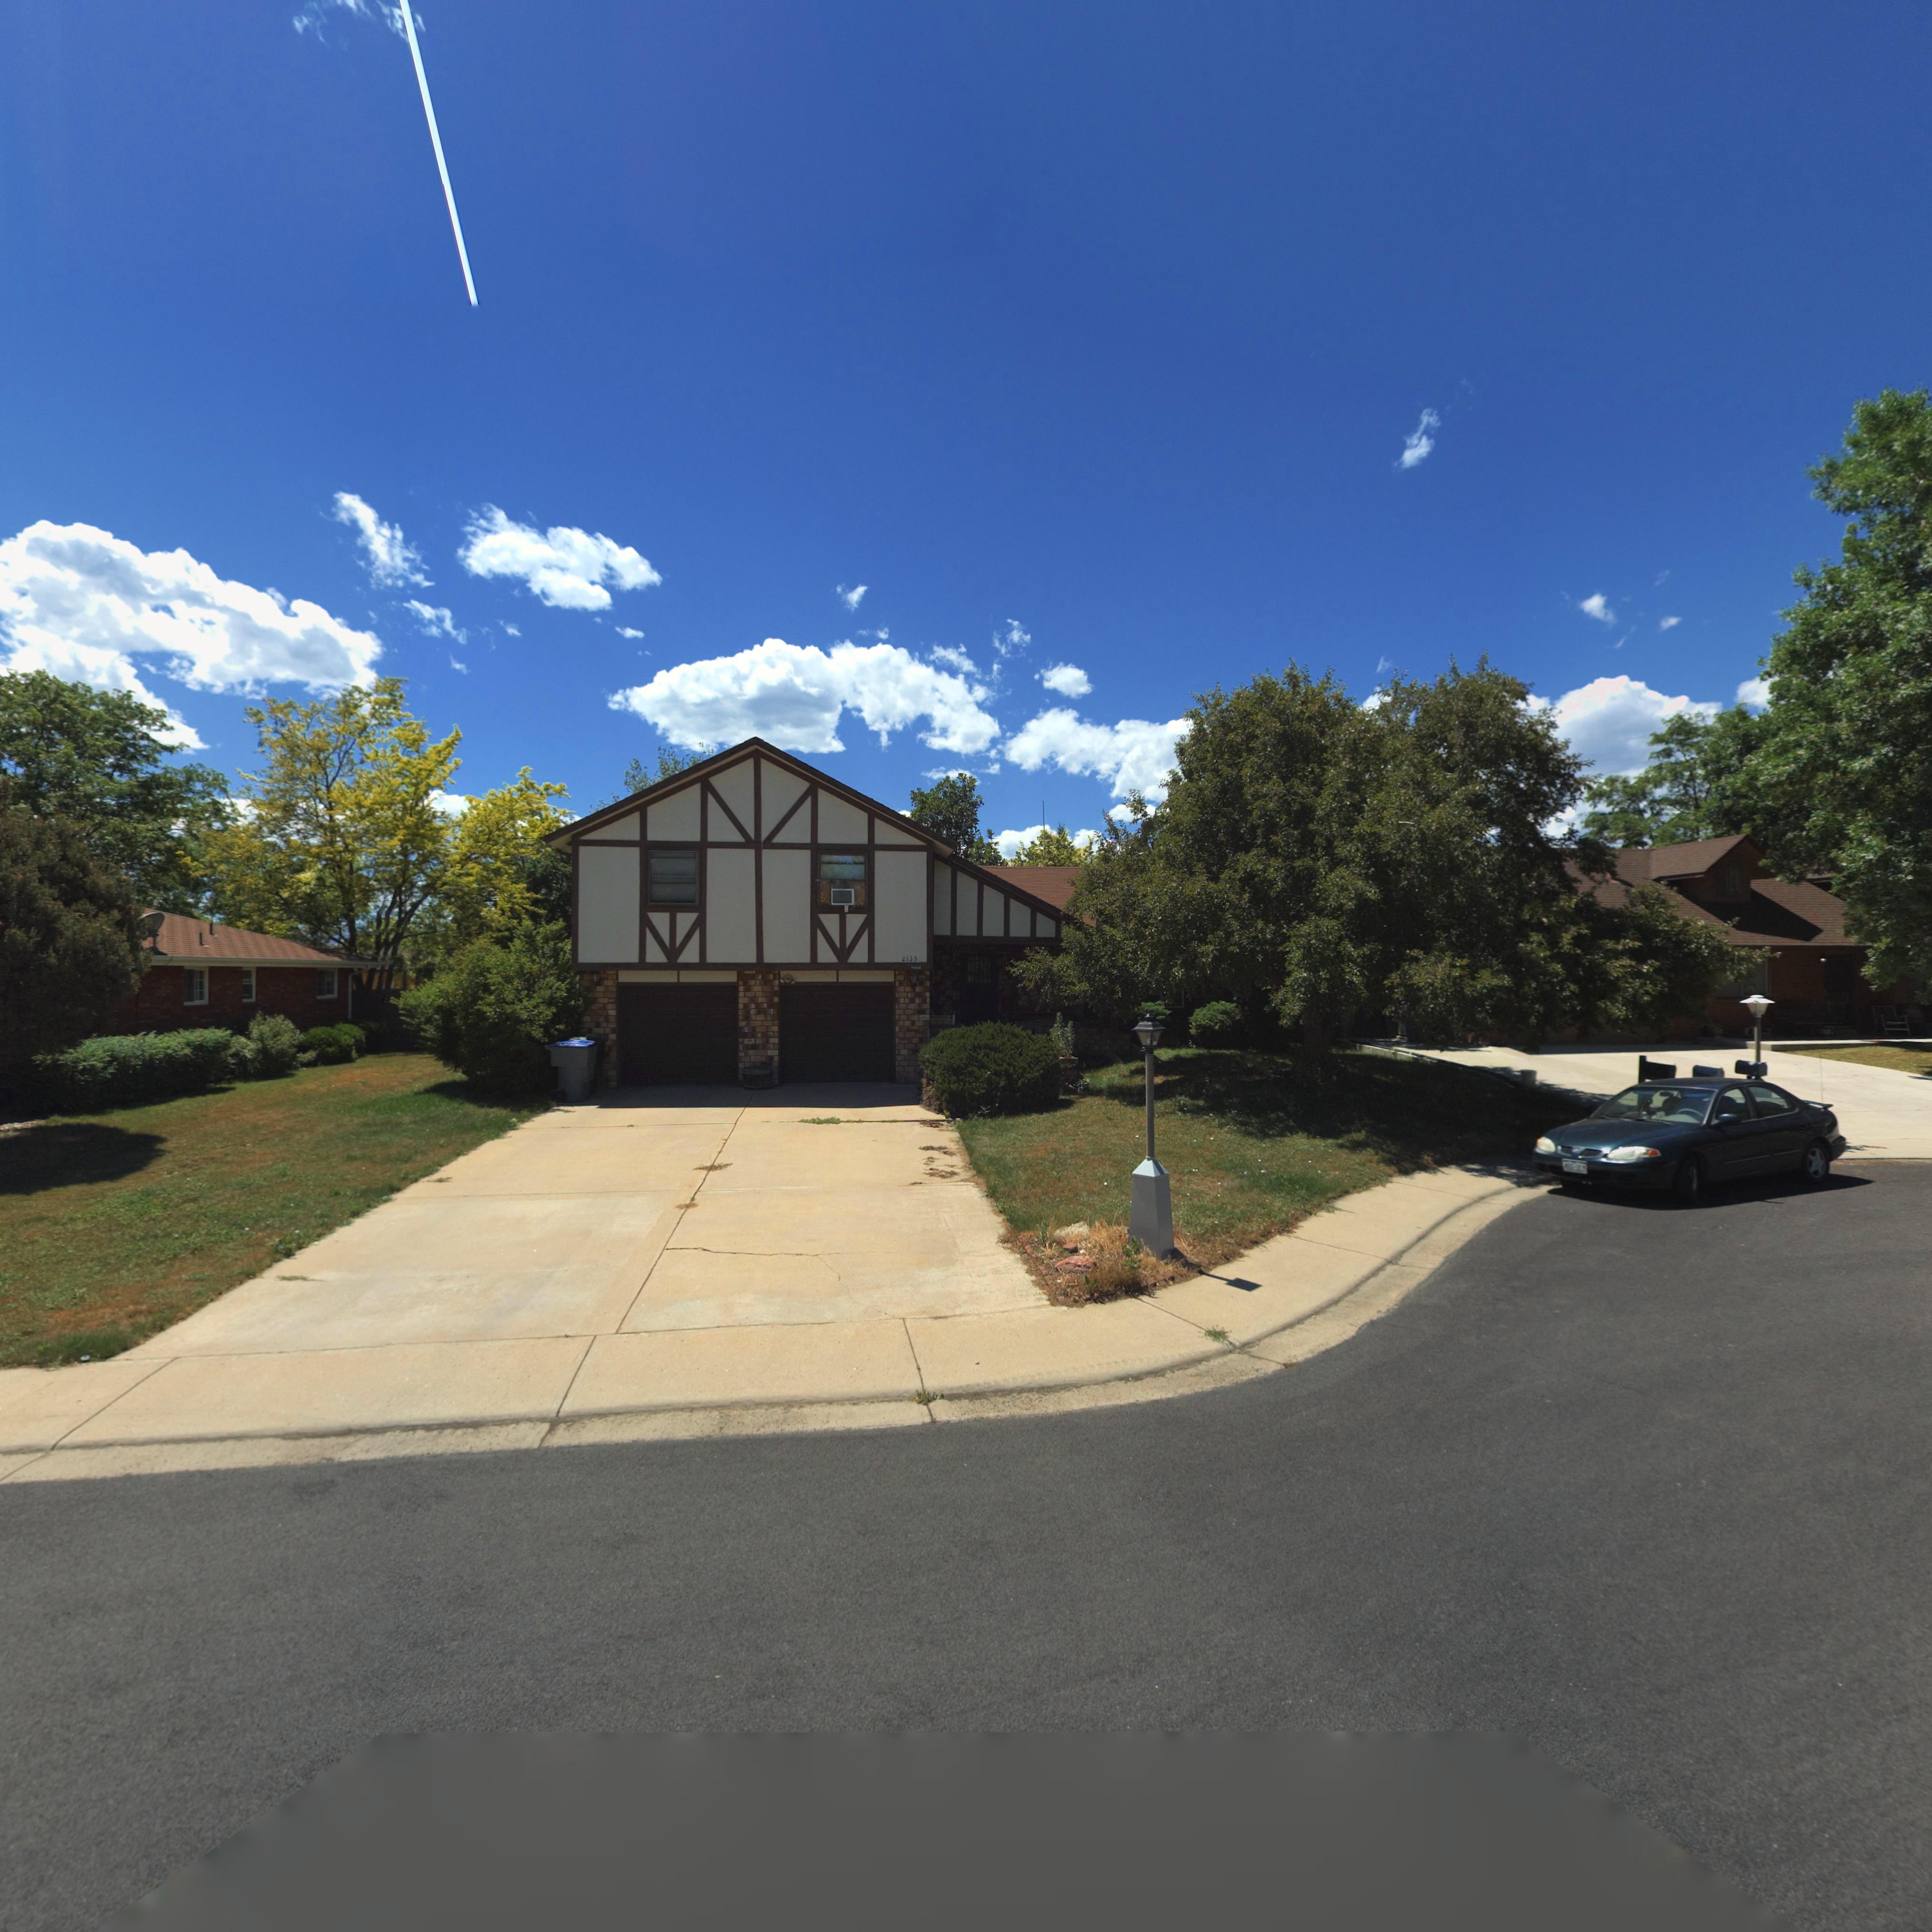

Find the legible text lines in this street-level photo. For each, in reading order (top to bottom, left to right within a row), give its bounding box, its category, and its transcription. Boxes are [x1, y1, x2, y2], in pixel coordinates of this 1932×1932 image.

[902, 956, 918, 961] StreetNumber: 2135